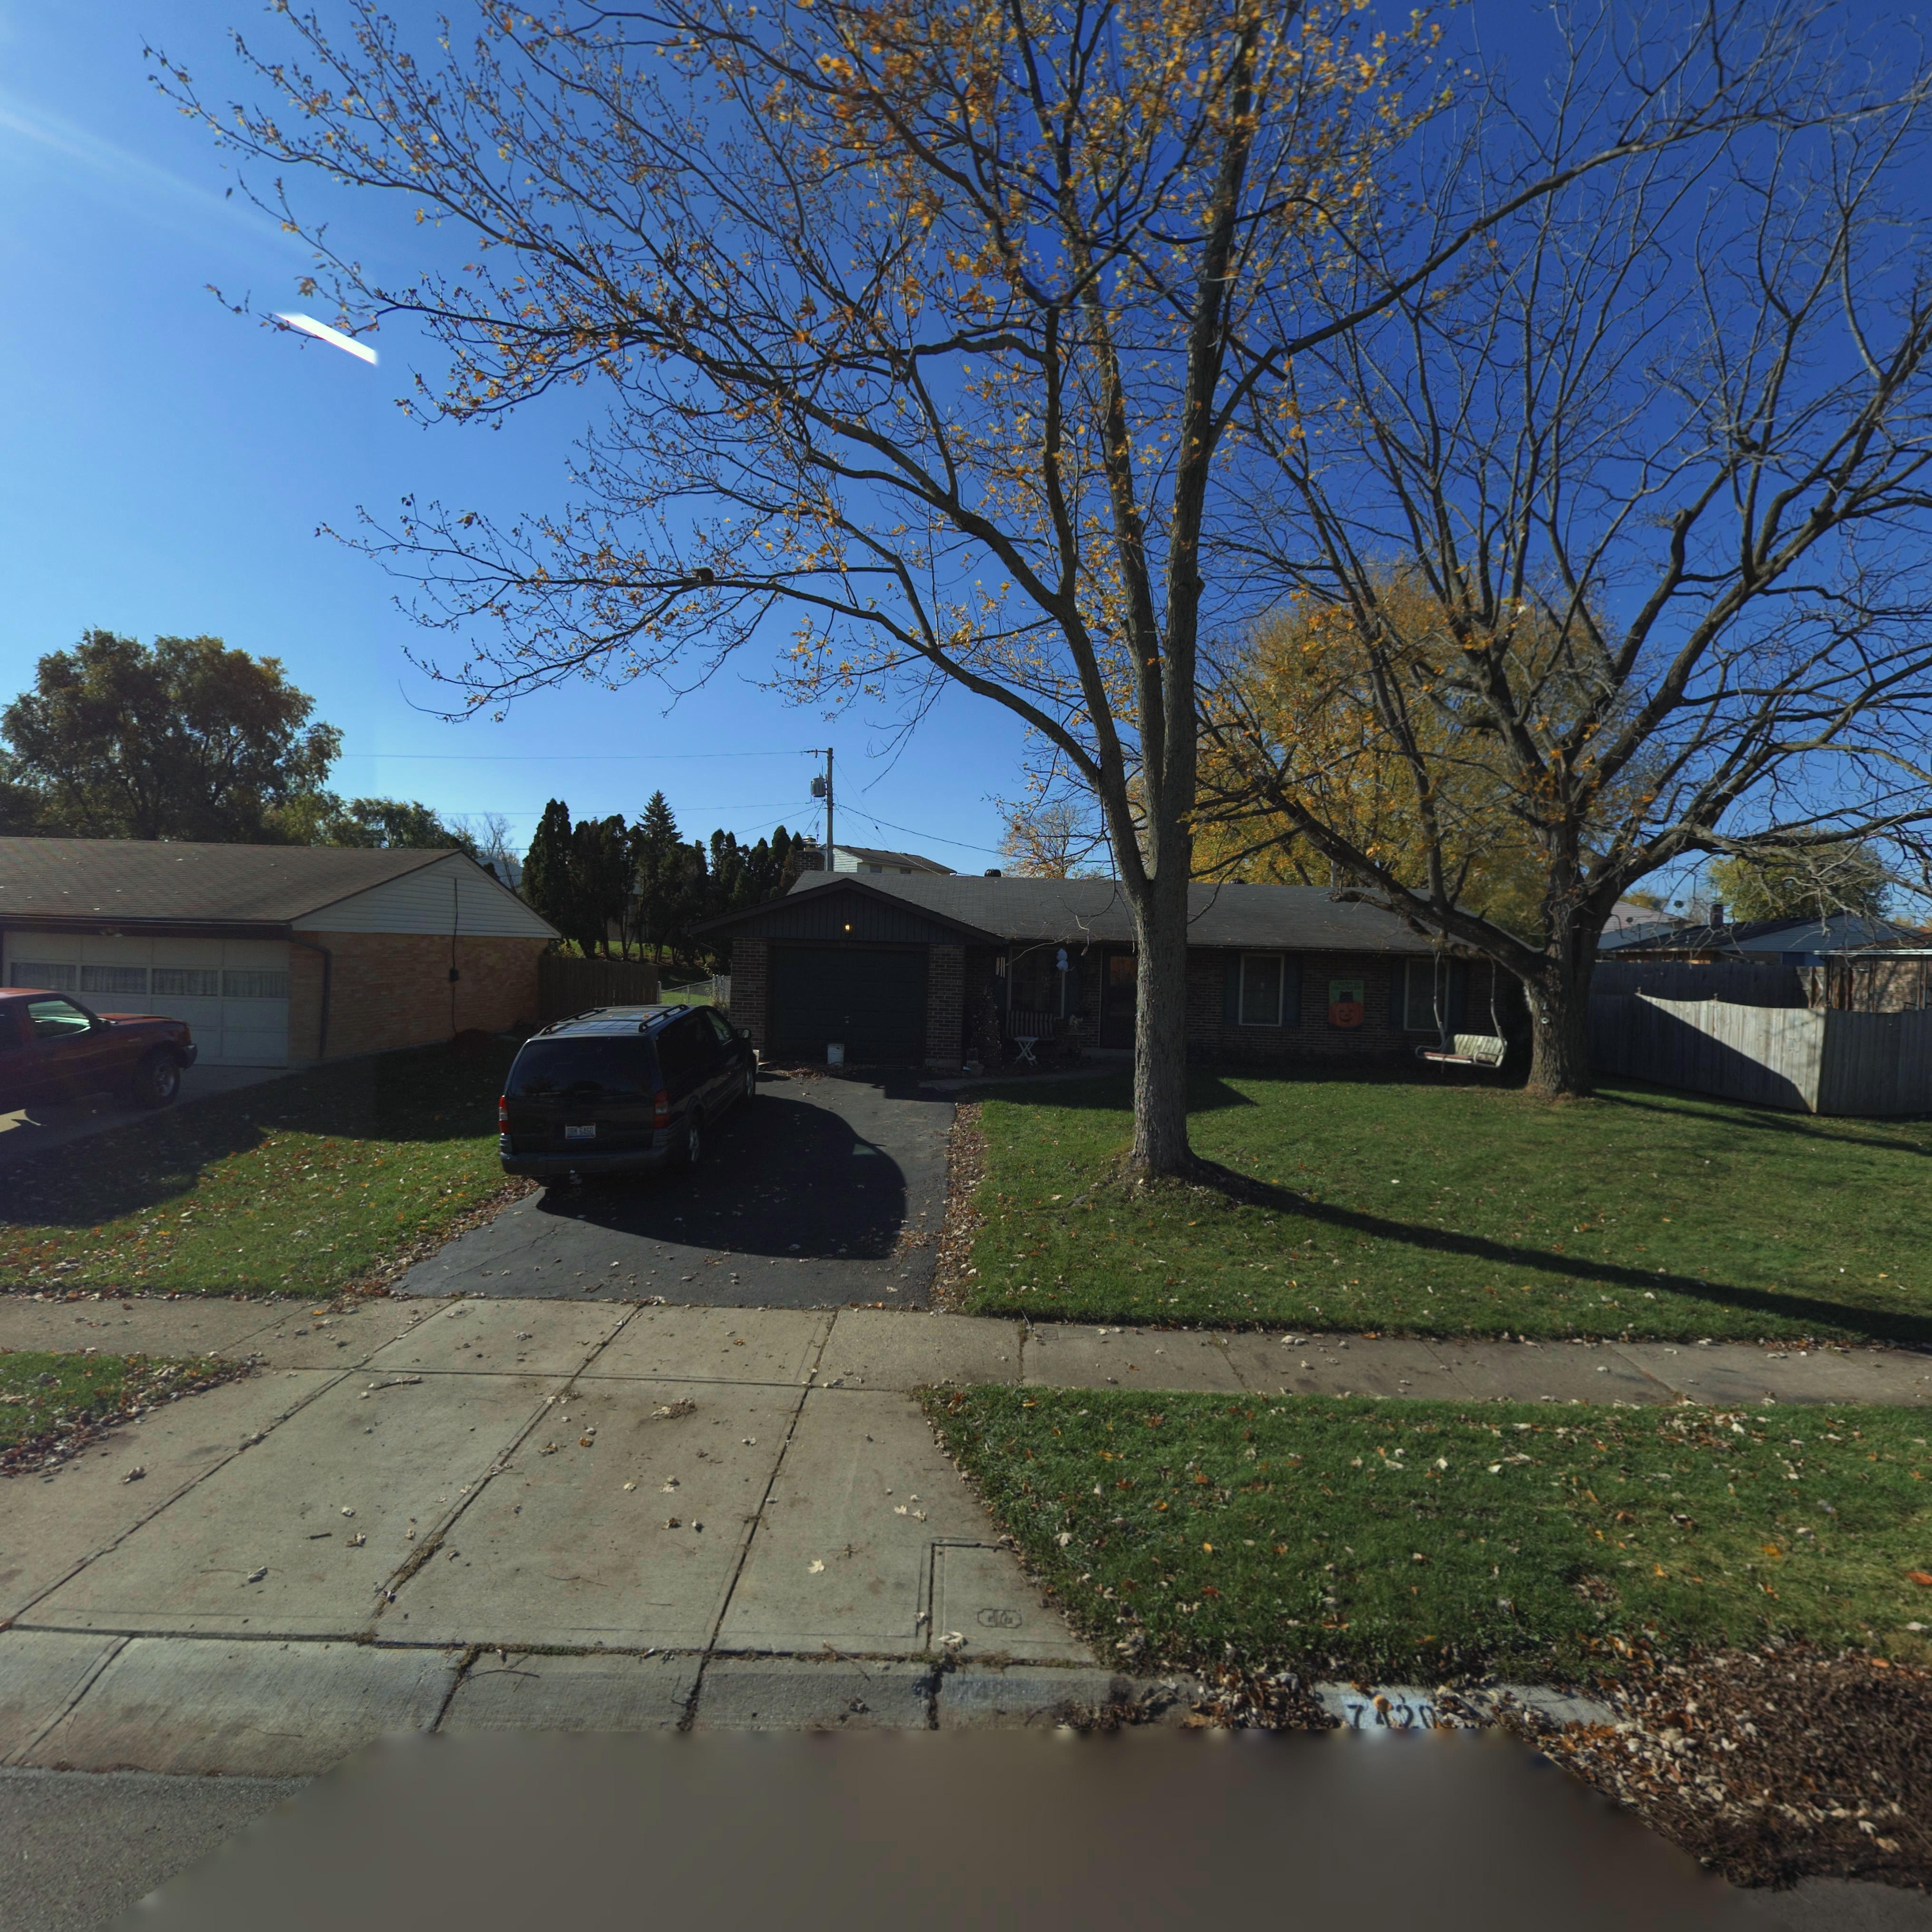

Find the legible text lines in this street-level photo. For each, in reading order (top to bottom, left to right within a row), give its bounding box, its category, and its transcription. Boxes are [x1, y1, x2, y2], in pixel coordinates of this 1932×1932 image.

[1344, 1702, 1443, 1730] StreetNumber: 7*20